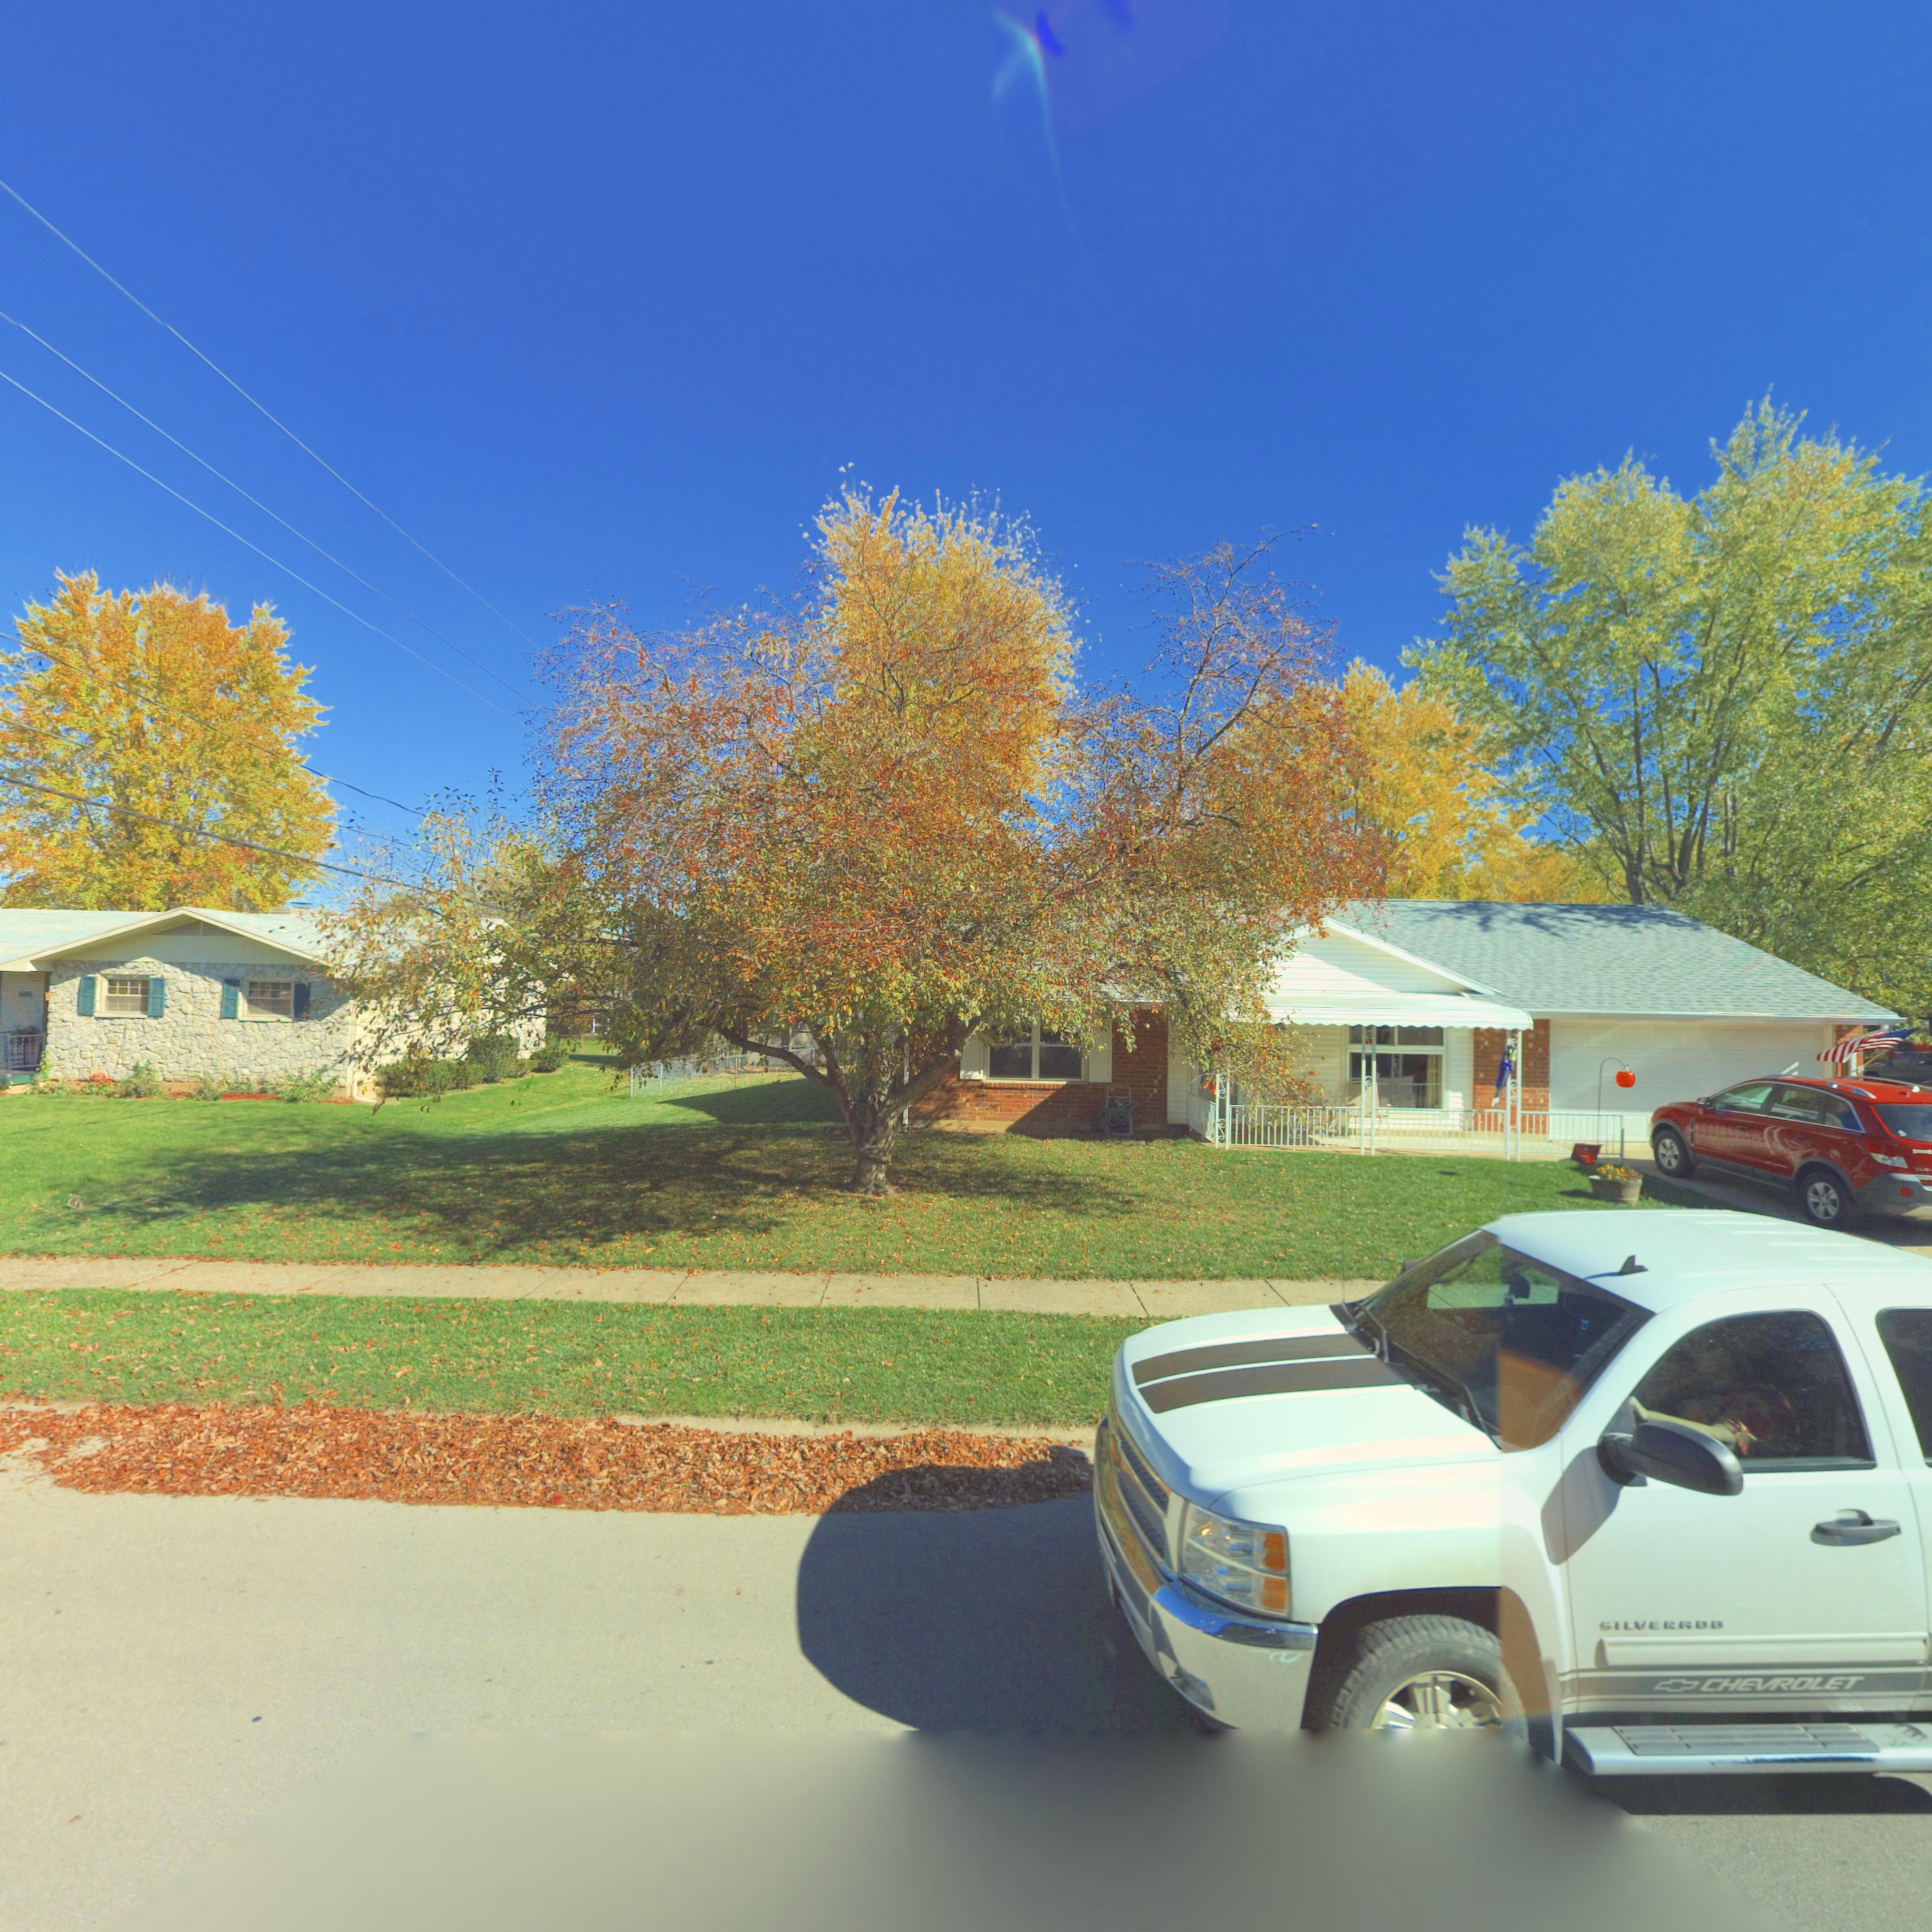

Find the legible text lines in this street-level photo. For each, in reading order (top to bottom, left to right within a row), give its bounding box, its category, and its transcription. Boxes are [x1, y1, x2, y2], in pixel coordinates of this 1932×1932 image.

[19, 990, 33, 998] StreetNumber: 606